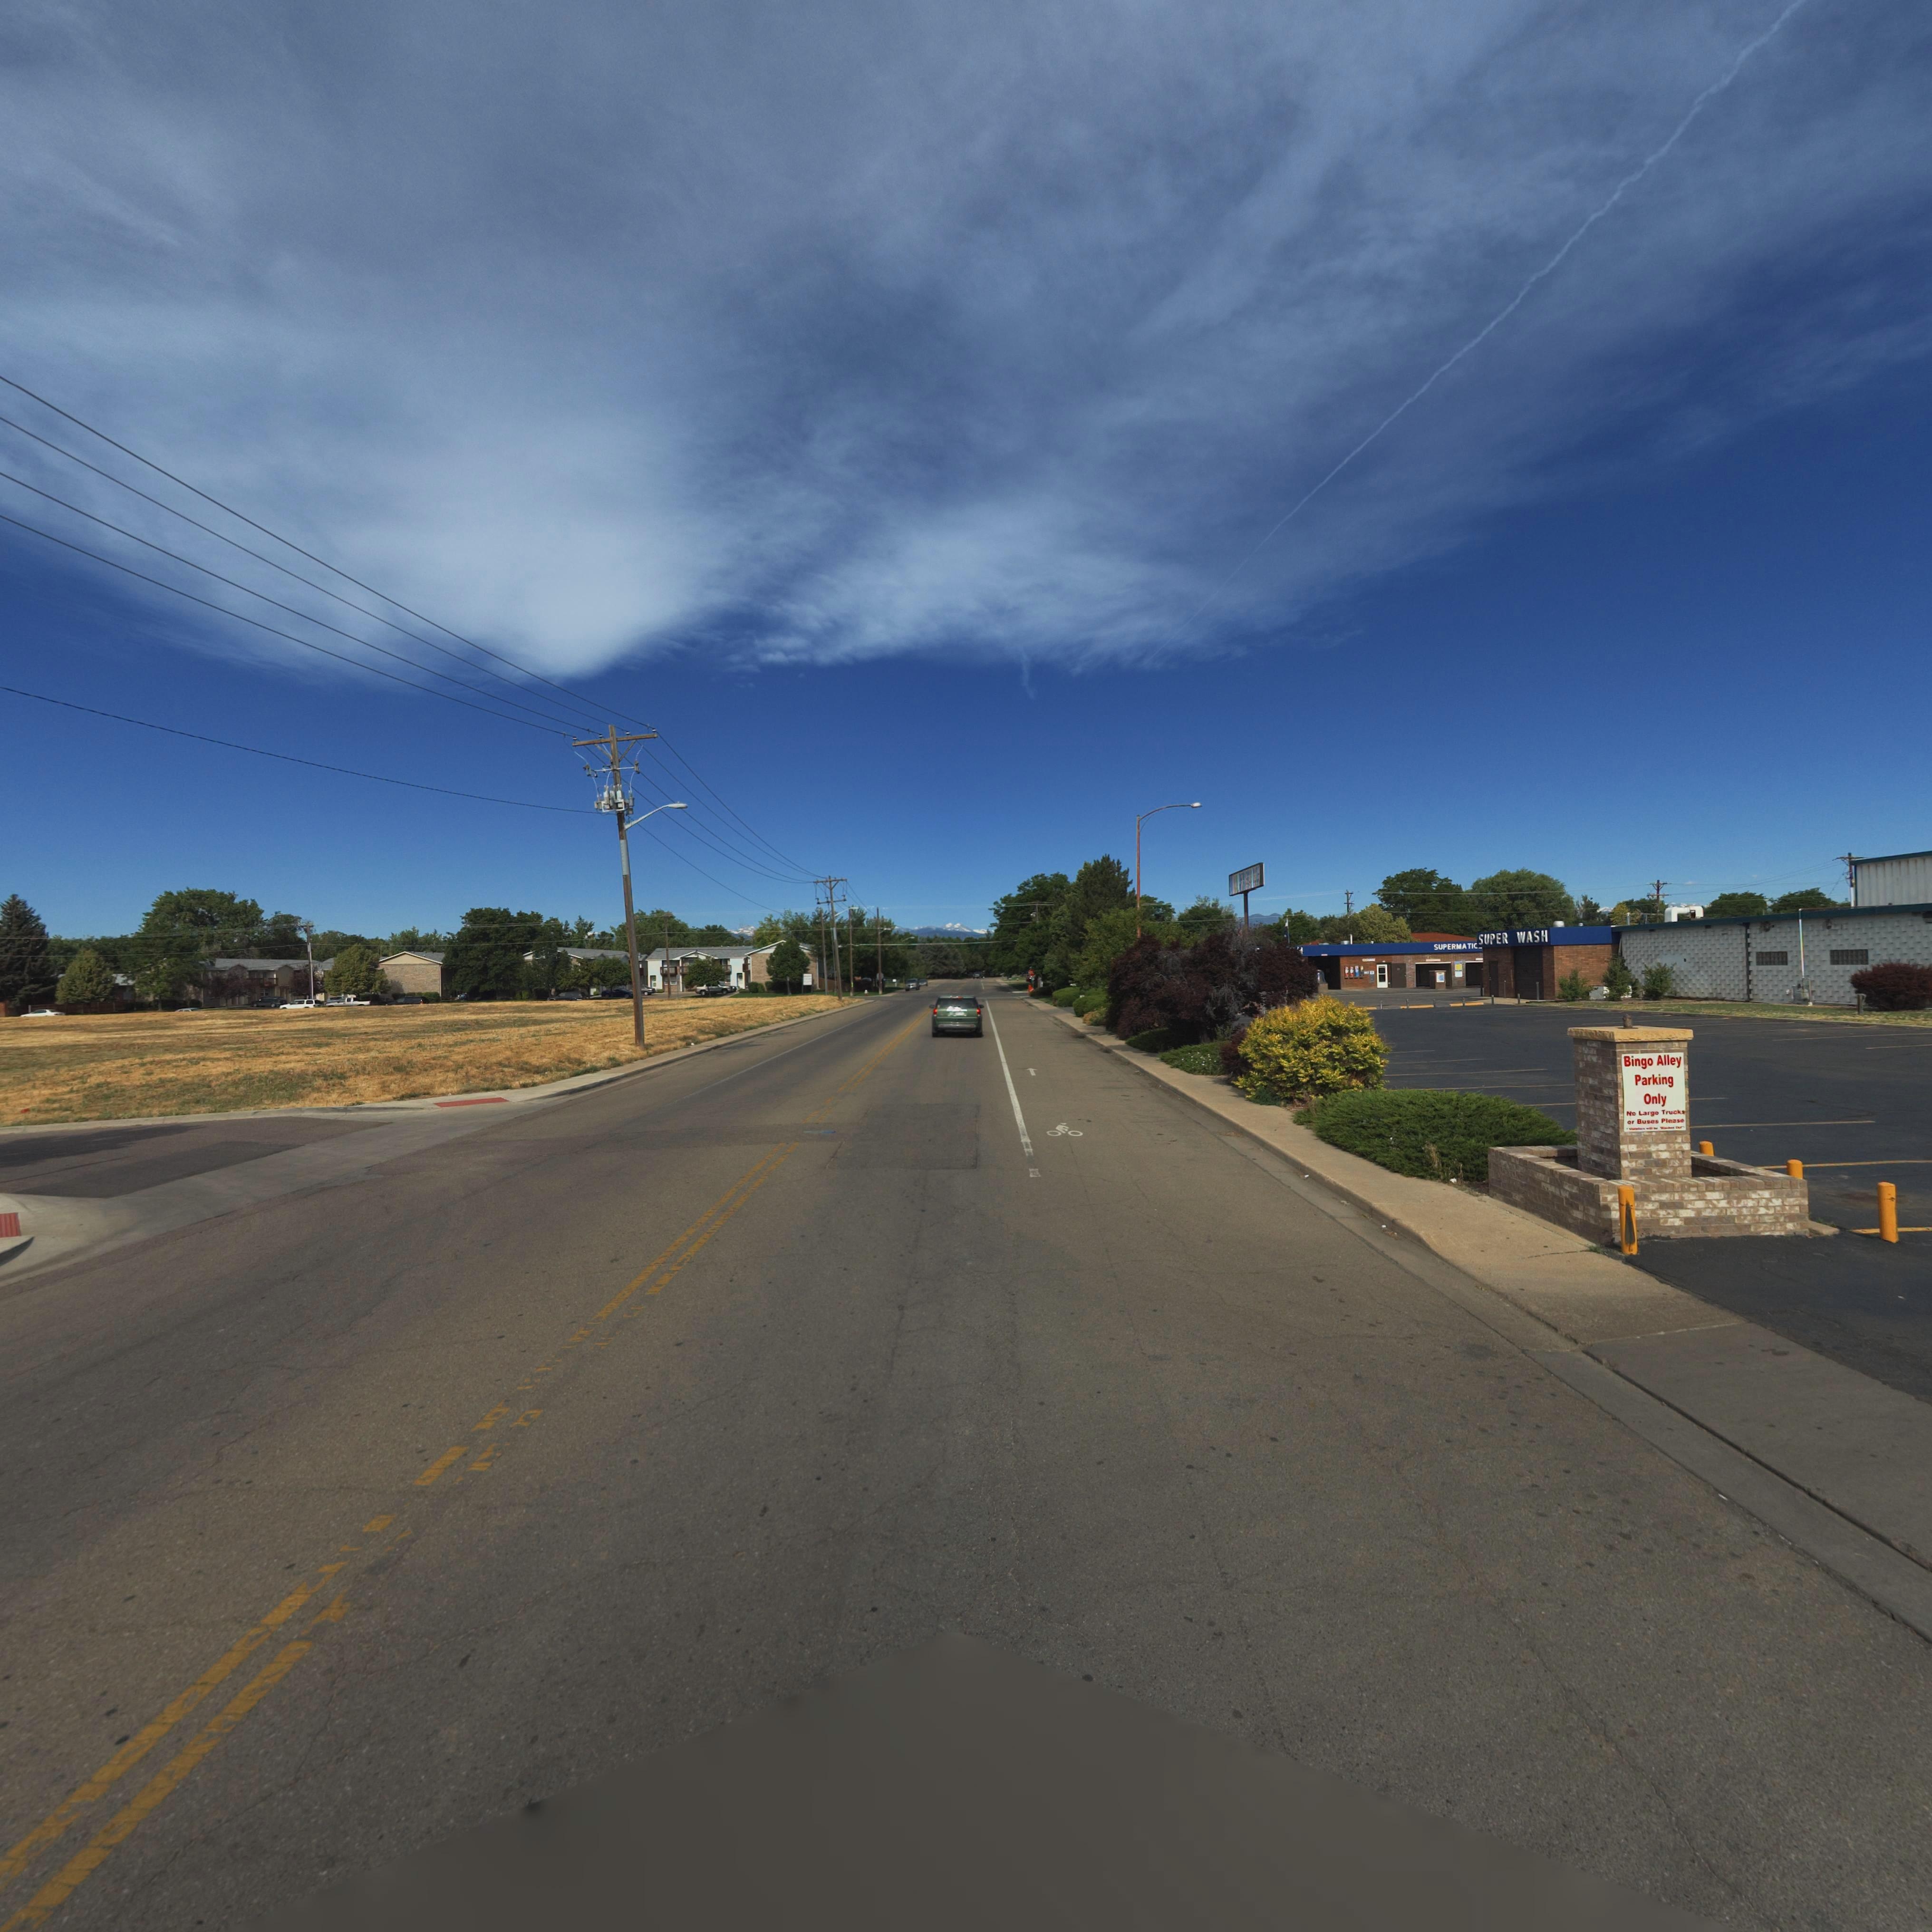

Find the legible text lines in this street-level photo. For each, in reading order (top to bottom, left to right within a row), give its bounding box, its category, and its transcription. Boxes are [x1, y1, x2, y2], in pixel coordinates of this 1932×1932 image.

[1478, 929, 1548, 945] BusinessName: SUPER WASH